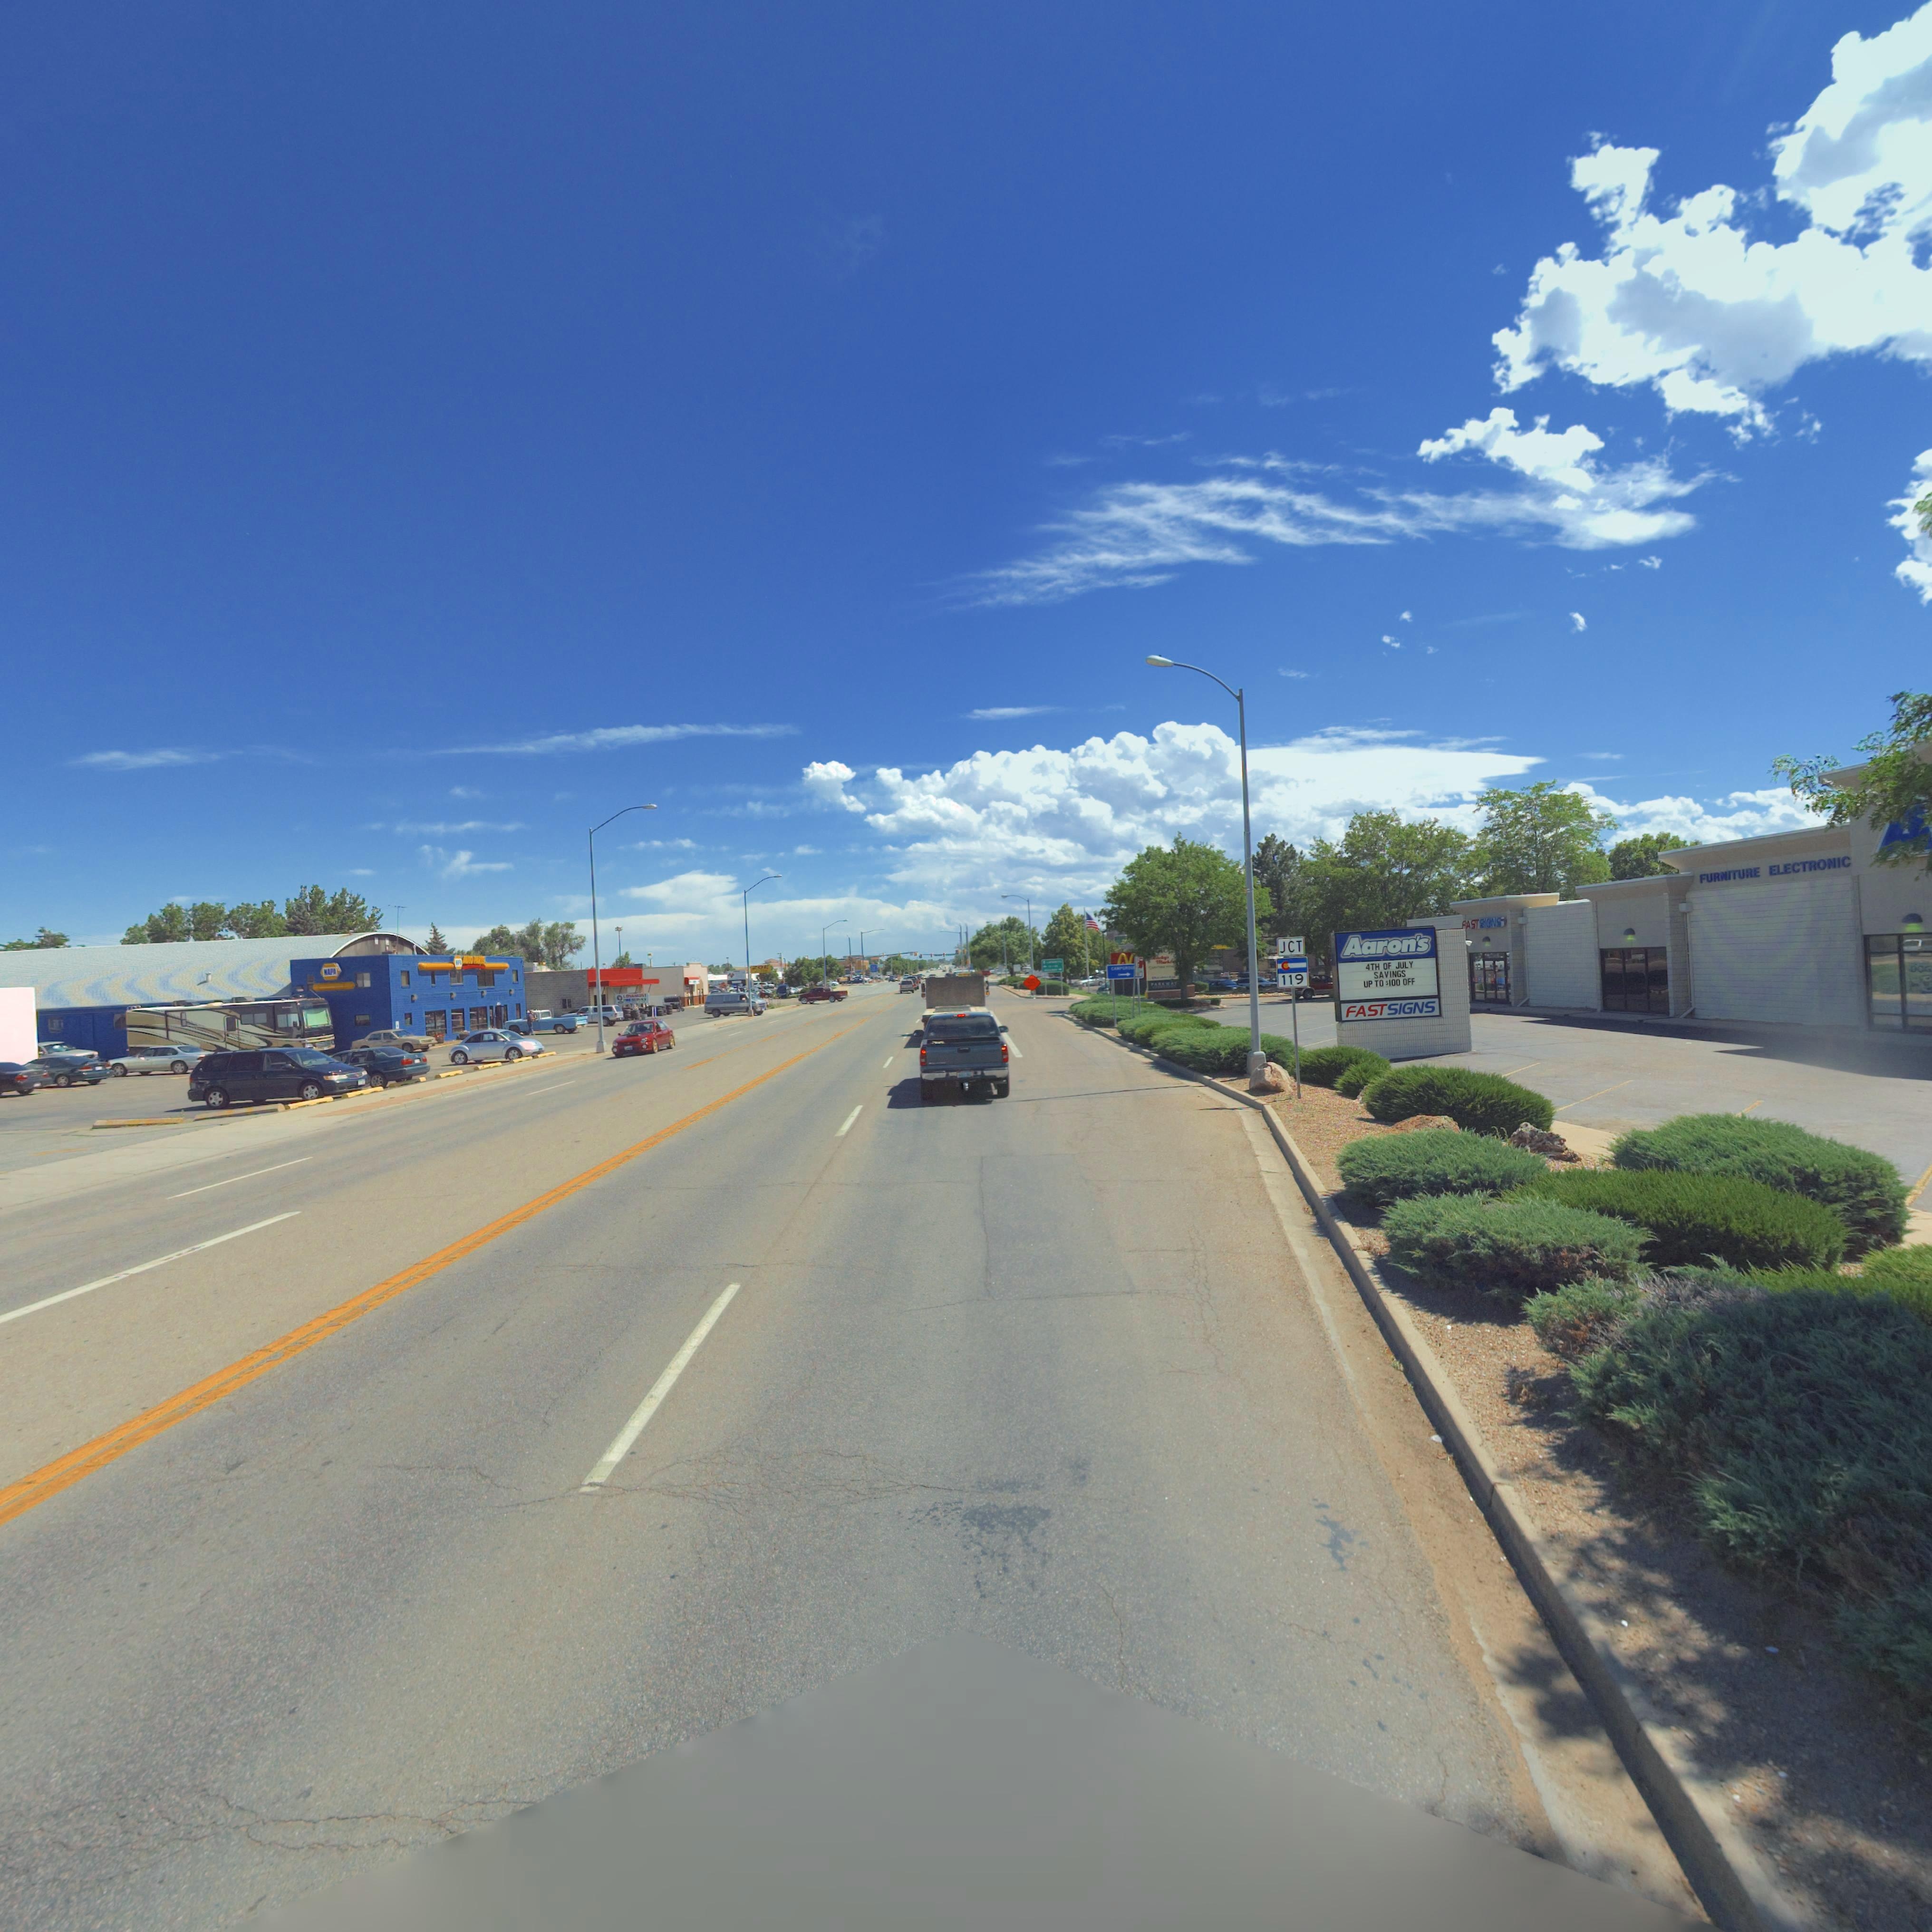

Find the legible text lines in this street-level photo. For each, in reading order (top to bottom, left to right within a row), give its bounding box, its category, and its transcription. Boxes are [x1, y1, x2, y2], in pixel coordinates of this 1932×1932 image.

[1461, 916, 1501, 929] BusinessName: FASTSIGNS
[1340, 935, 1431, 959] BusinessName: Aaron*s
[455, 959, 461, 965] BusinessName: NAPA
[463, 955, 485, 964] BusinessName: AUTO PARTS
[323, 967, 336, 976] BusinessName: NAPA
[752, 965, 768, 969] BusinessName: ZOE
[1345, 1000, 1436, 1018] BusinessName: FASTSIGNS